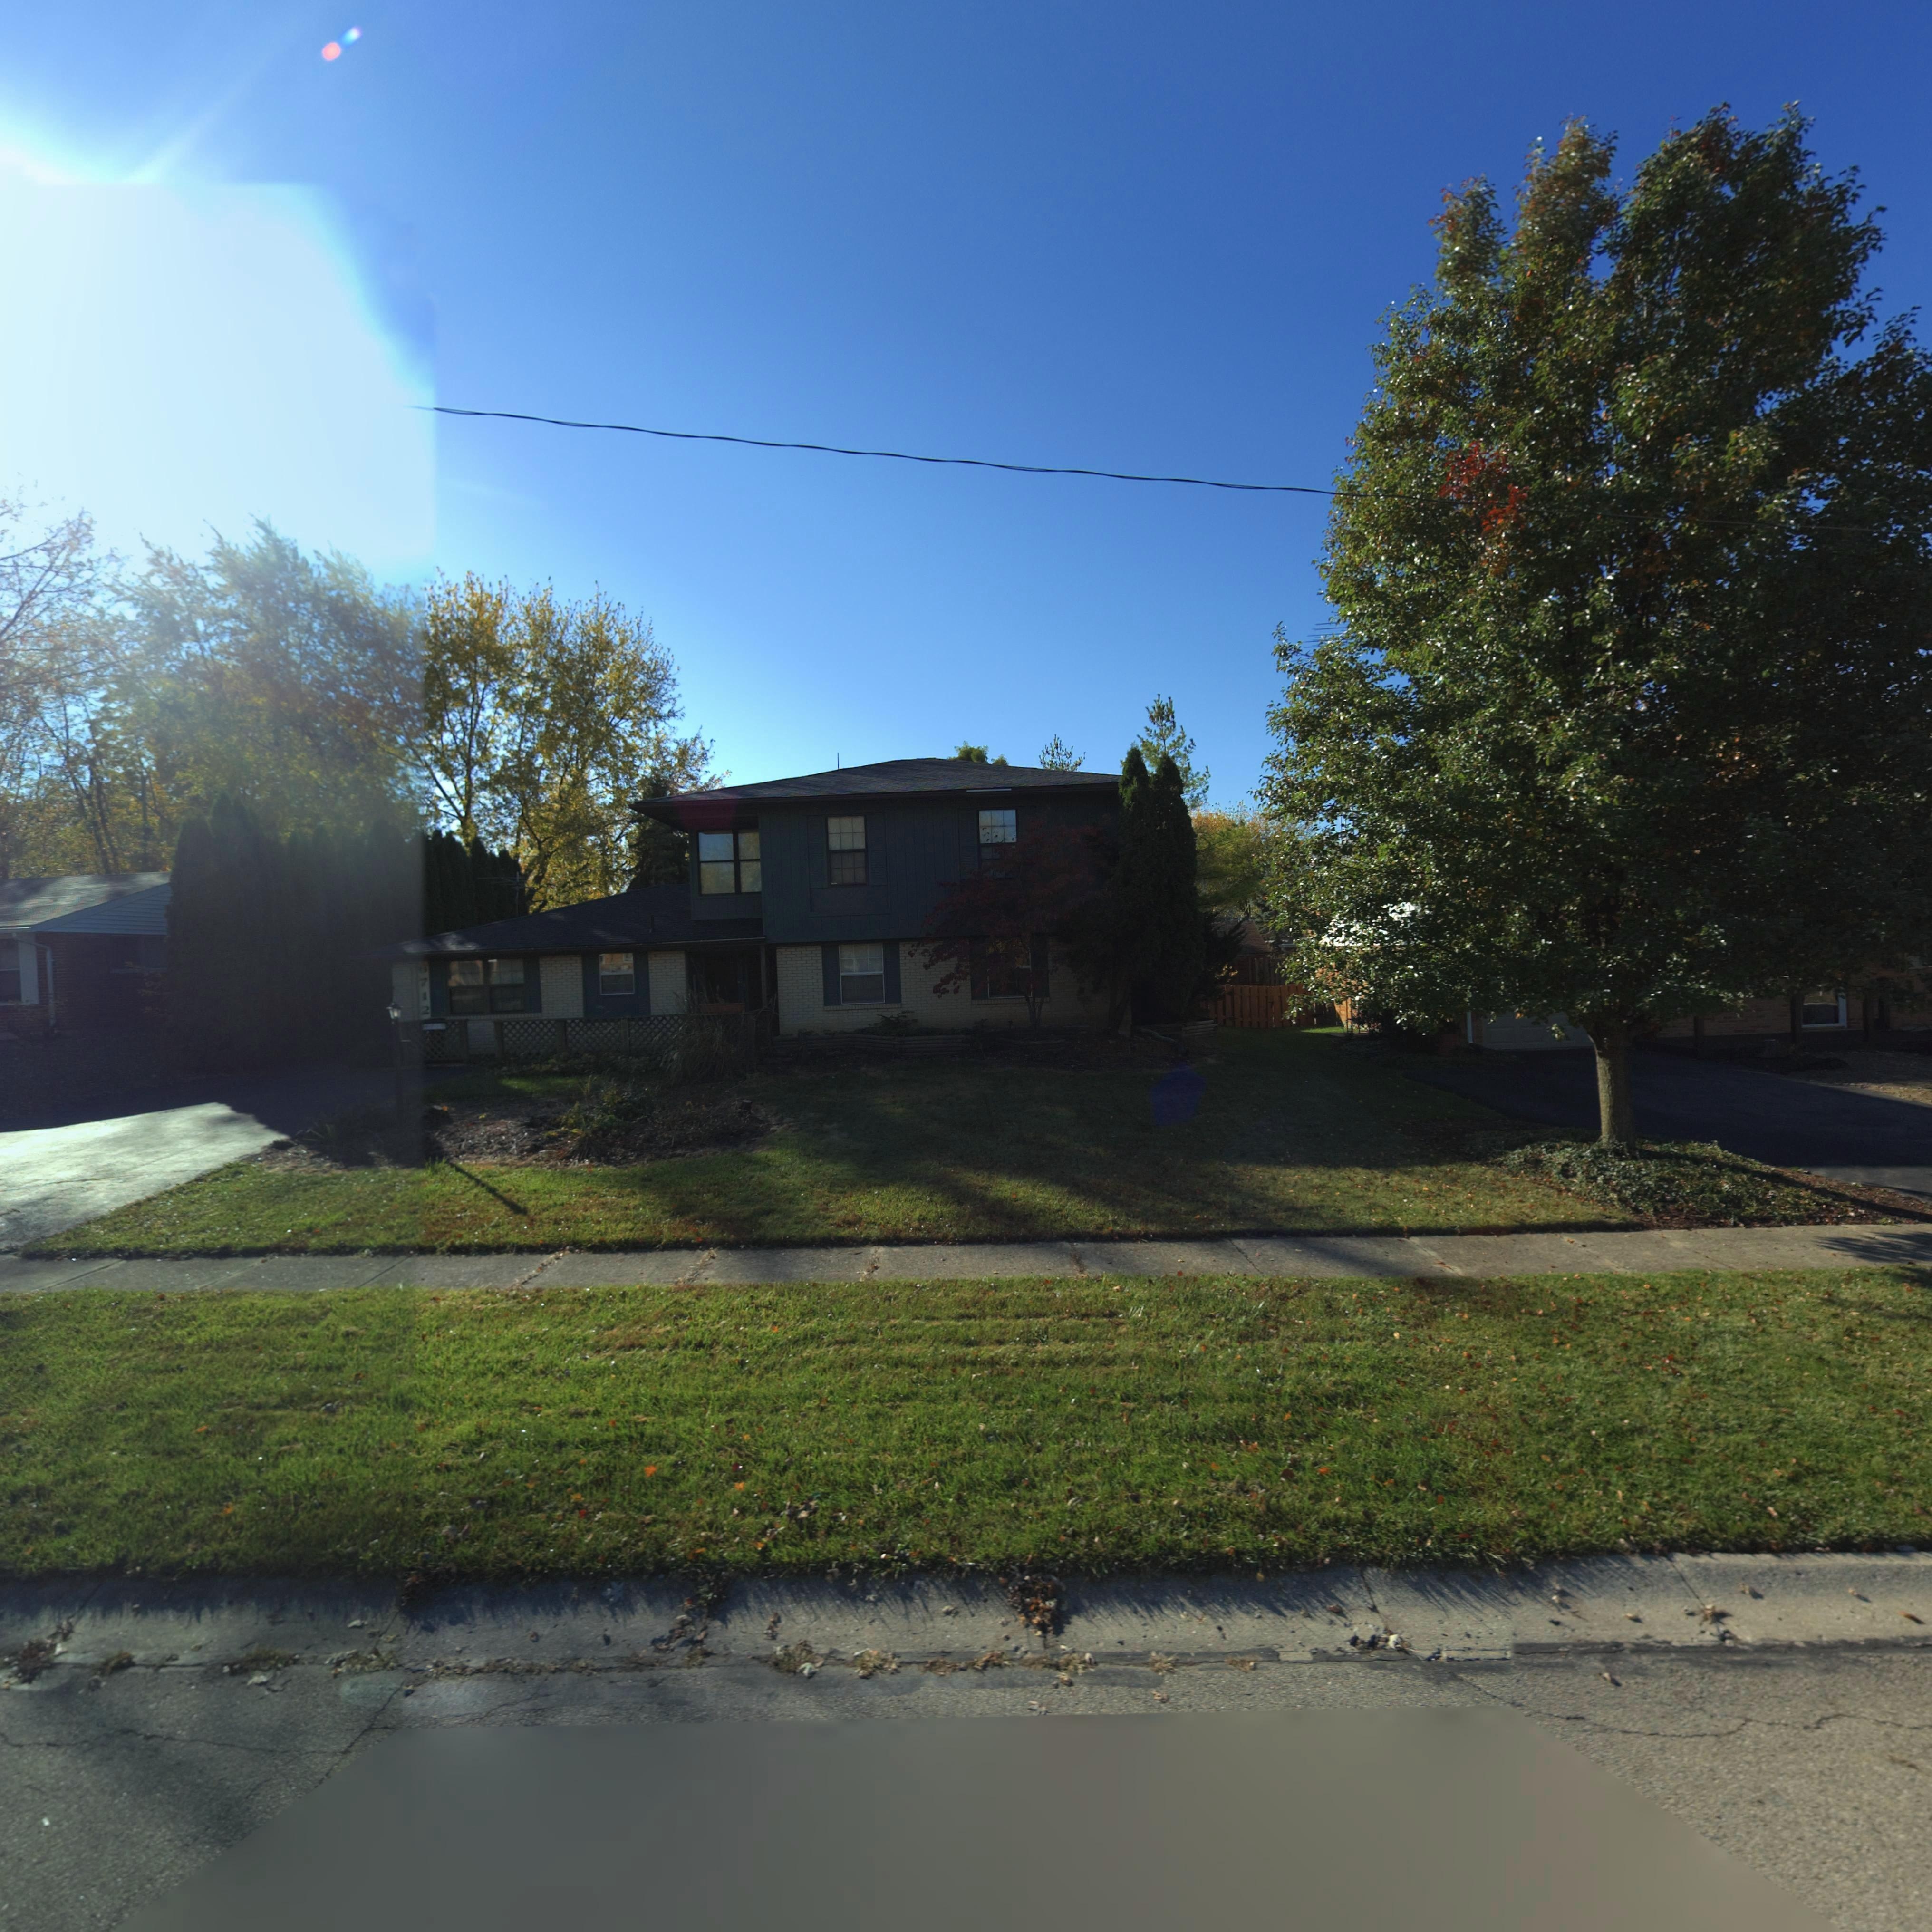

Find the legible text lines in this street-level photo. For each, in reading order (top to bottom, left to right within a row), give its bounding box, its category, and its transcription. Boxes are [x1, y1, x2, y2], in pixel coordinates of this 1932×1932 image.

[417, 961, 432, 1017] StreetNumber: 6712